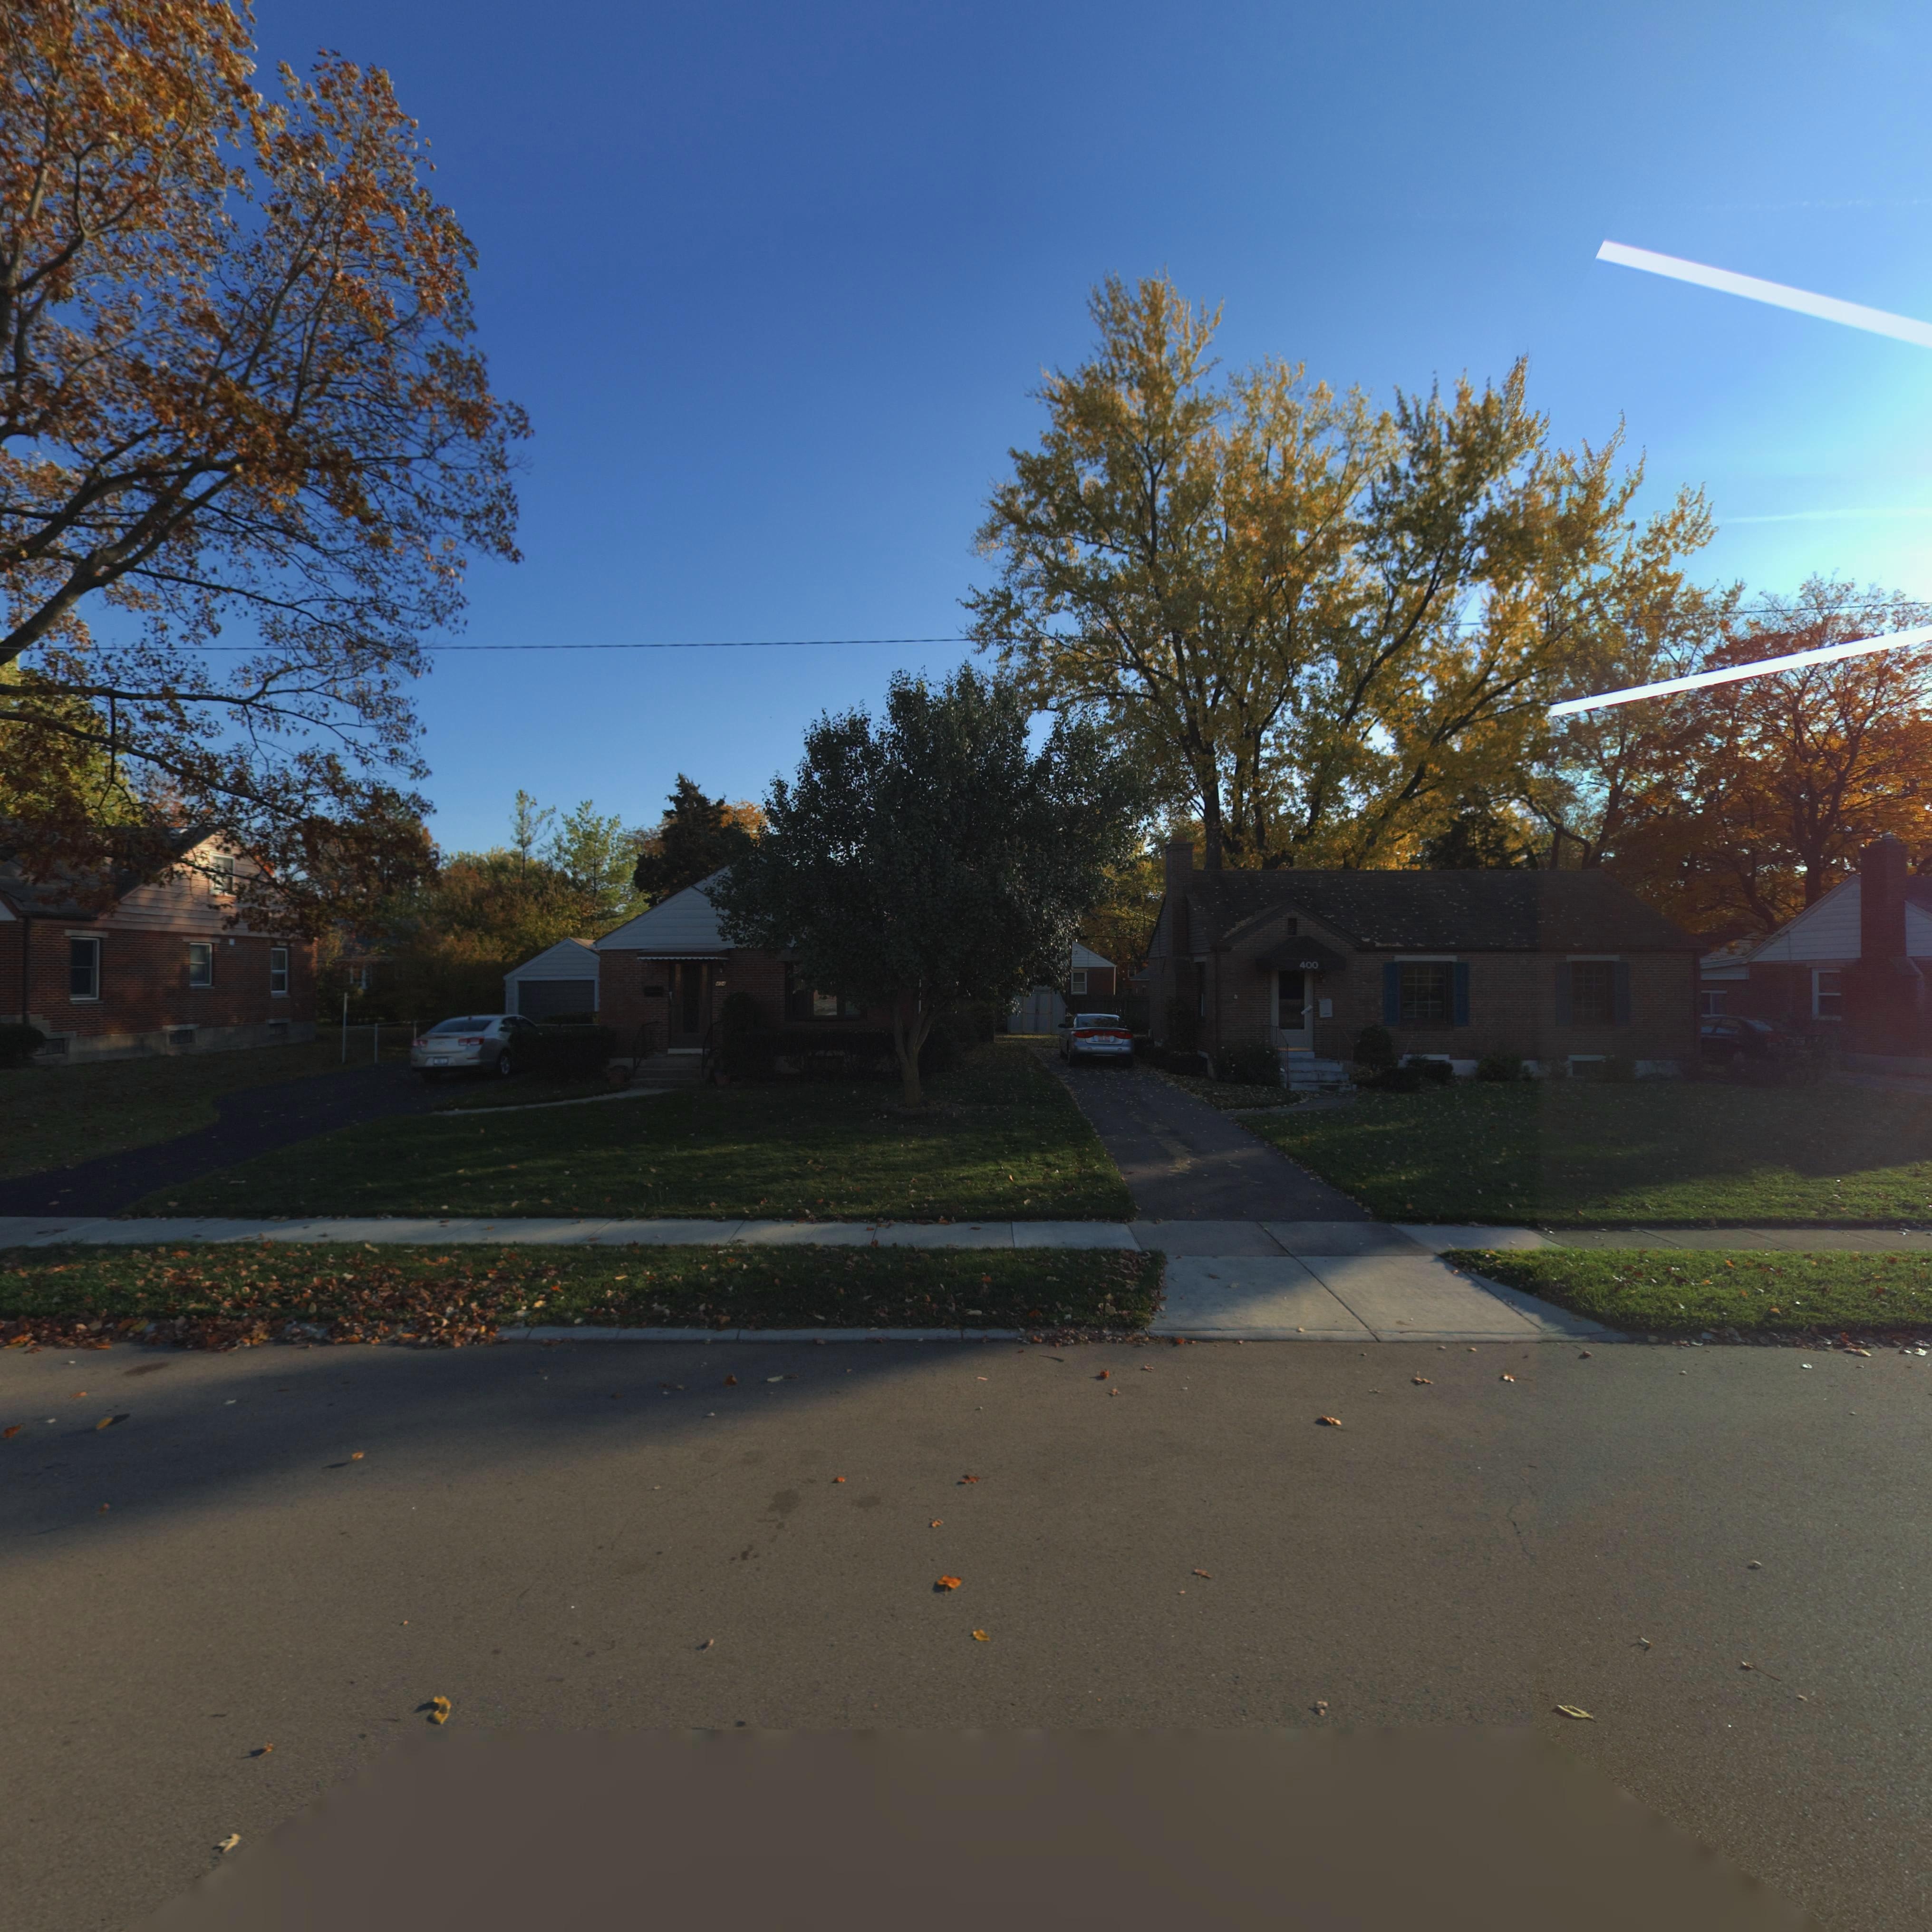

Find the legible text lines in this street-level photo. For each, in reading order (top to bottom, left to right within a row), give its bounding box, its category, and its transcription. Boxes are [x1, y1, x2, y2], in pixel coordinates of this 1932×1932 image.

[1298, 960, 1320, 970] StreetNumber: 400
[715, 981, 727, 986] StreetNumber: 404